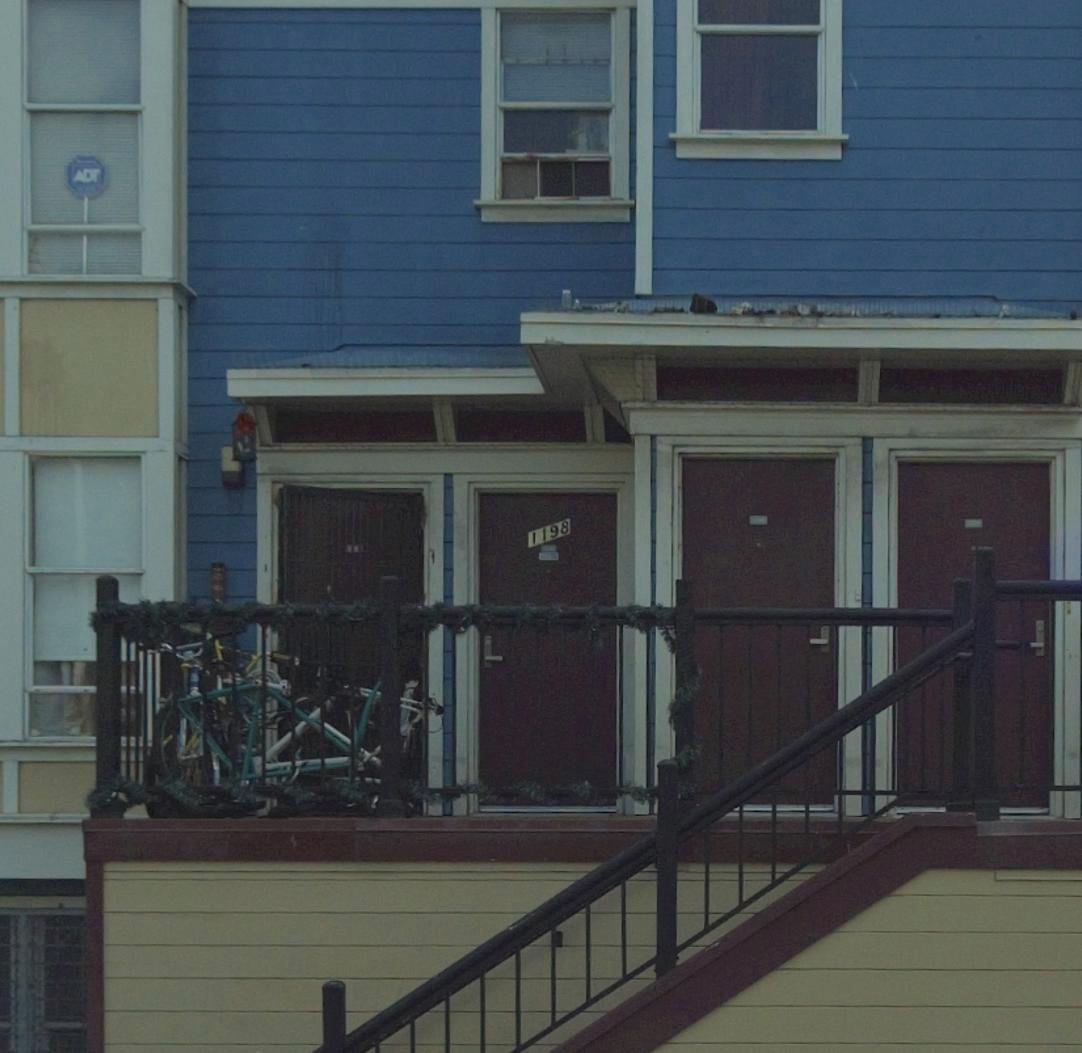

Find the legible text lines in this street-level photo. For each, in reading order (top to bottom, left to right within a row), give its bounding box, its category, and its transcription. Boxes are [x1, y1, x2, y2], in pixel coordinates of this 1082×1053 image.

[69, 166, 104, 186] None: ADT
[529, 517, 571, 548] StreetNumber: 1198